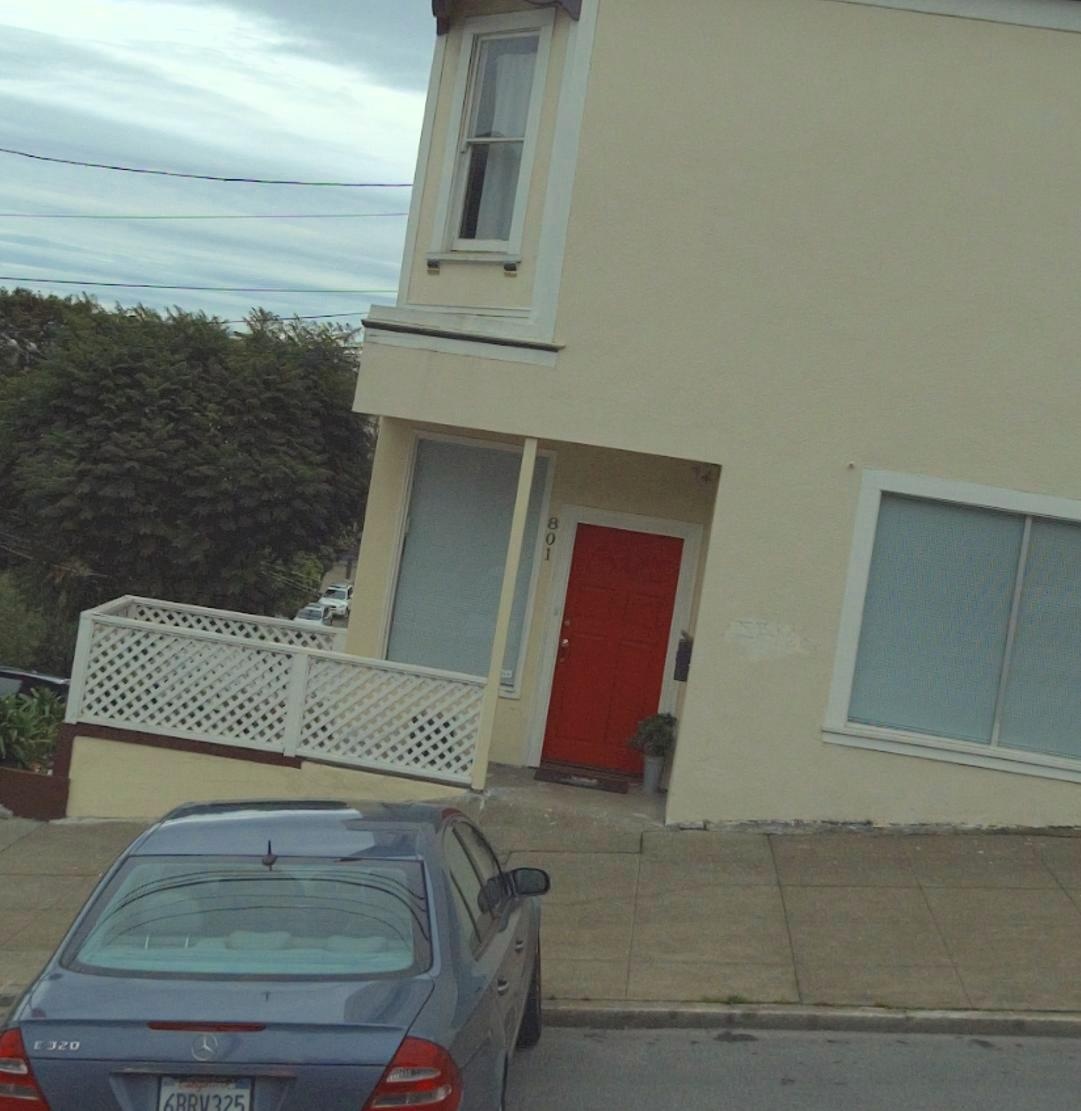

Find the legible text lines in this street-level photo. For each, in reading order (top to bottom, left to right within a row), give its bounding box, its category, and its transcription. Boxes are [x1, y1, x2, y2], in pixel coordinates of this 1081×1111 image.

[541, 515, 560, 563] StreetNumber: 801
[31, 1038, 82, 1052] None: E320